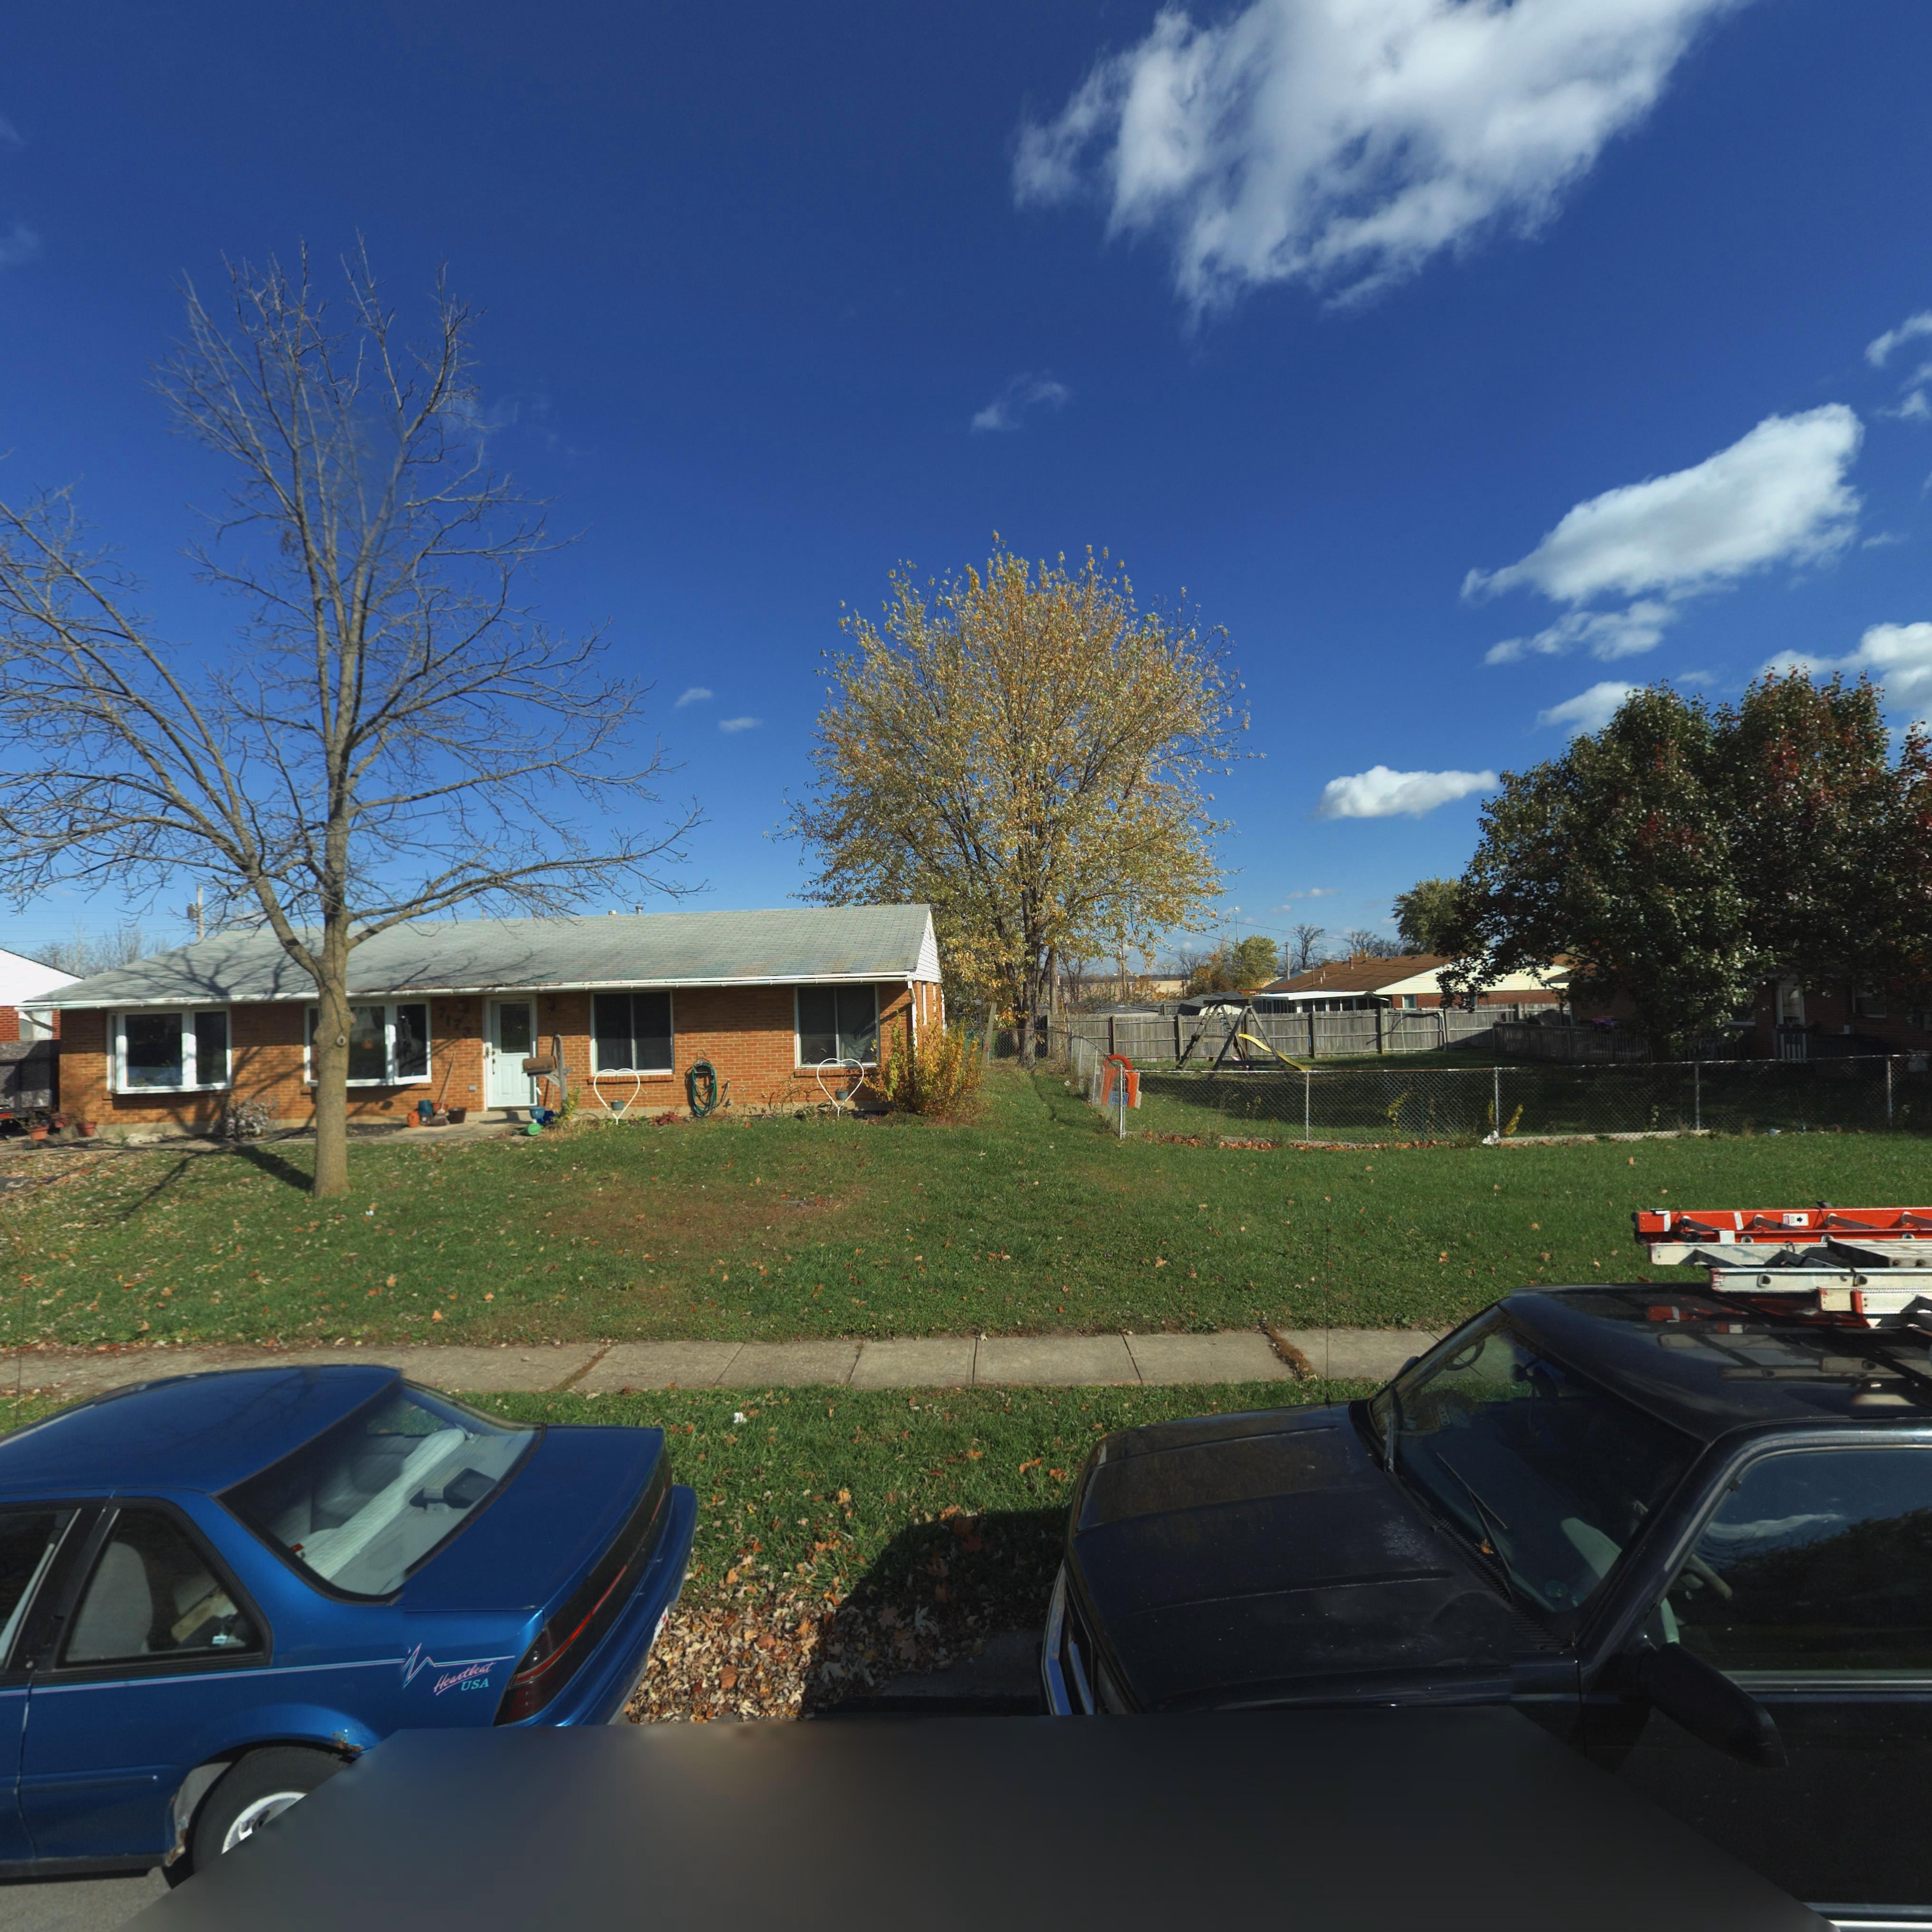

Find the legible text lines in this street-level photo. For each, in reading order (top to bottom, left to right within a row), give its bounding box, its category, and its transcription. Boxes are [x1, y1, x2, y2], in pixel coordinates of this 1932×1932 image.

[436, 1005, 473, 1041] StreetNumber: 7173